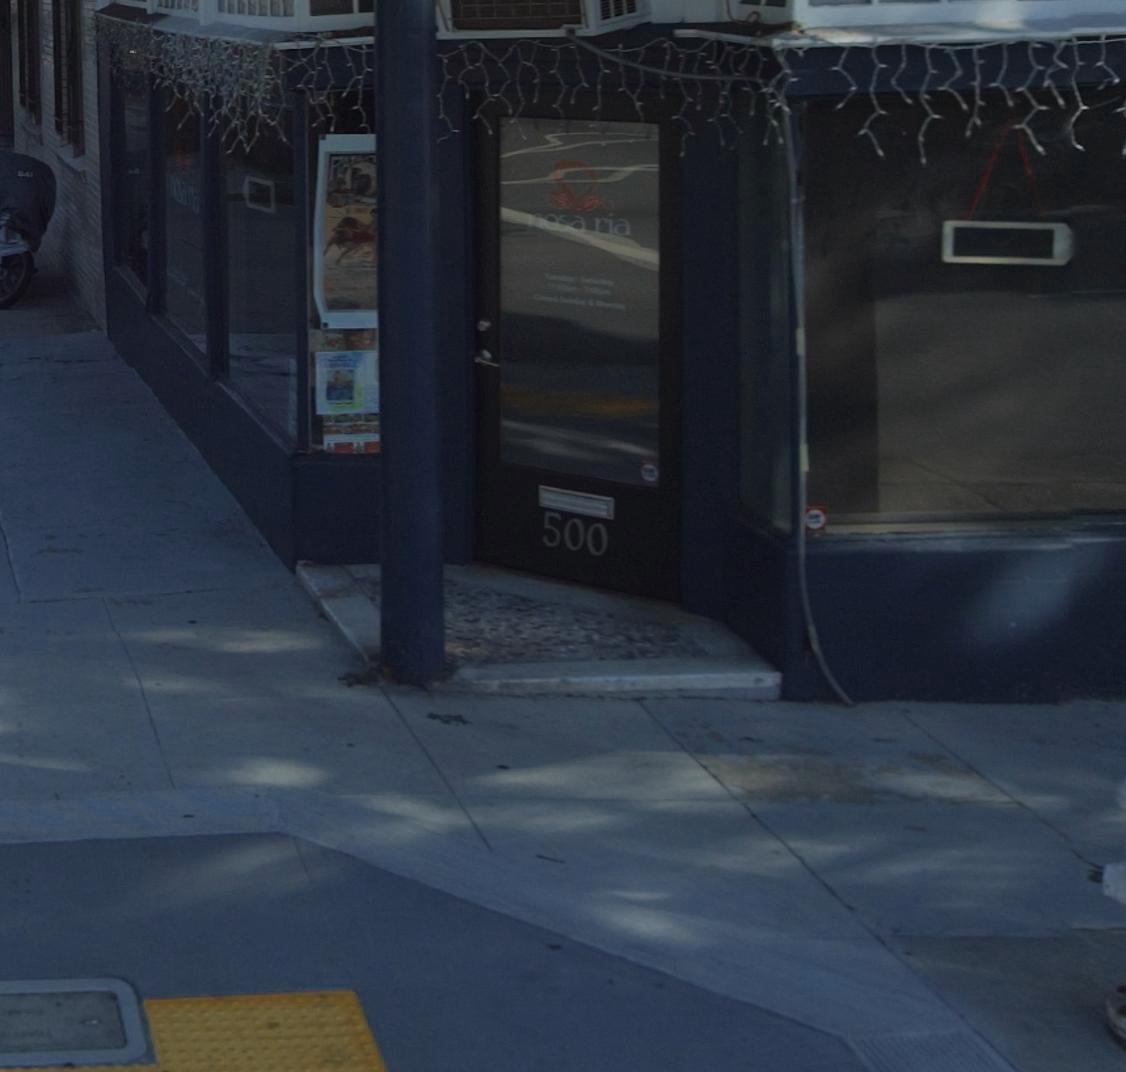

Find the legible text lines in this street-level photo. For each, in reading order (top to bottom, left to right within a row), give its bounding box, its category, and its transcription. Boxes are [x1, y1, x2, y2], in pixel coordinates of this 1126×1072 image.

[524, 208, 633, 237] BusinessName: nosa ria
[541, 508, 609, 563] StreetNumber: 500